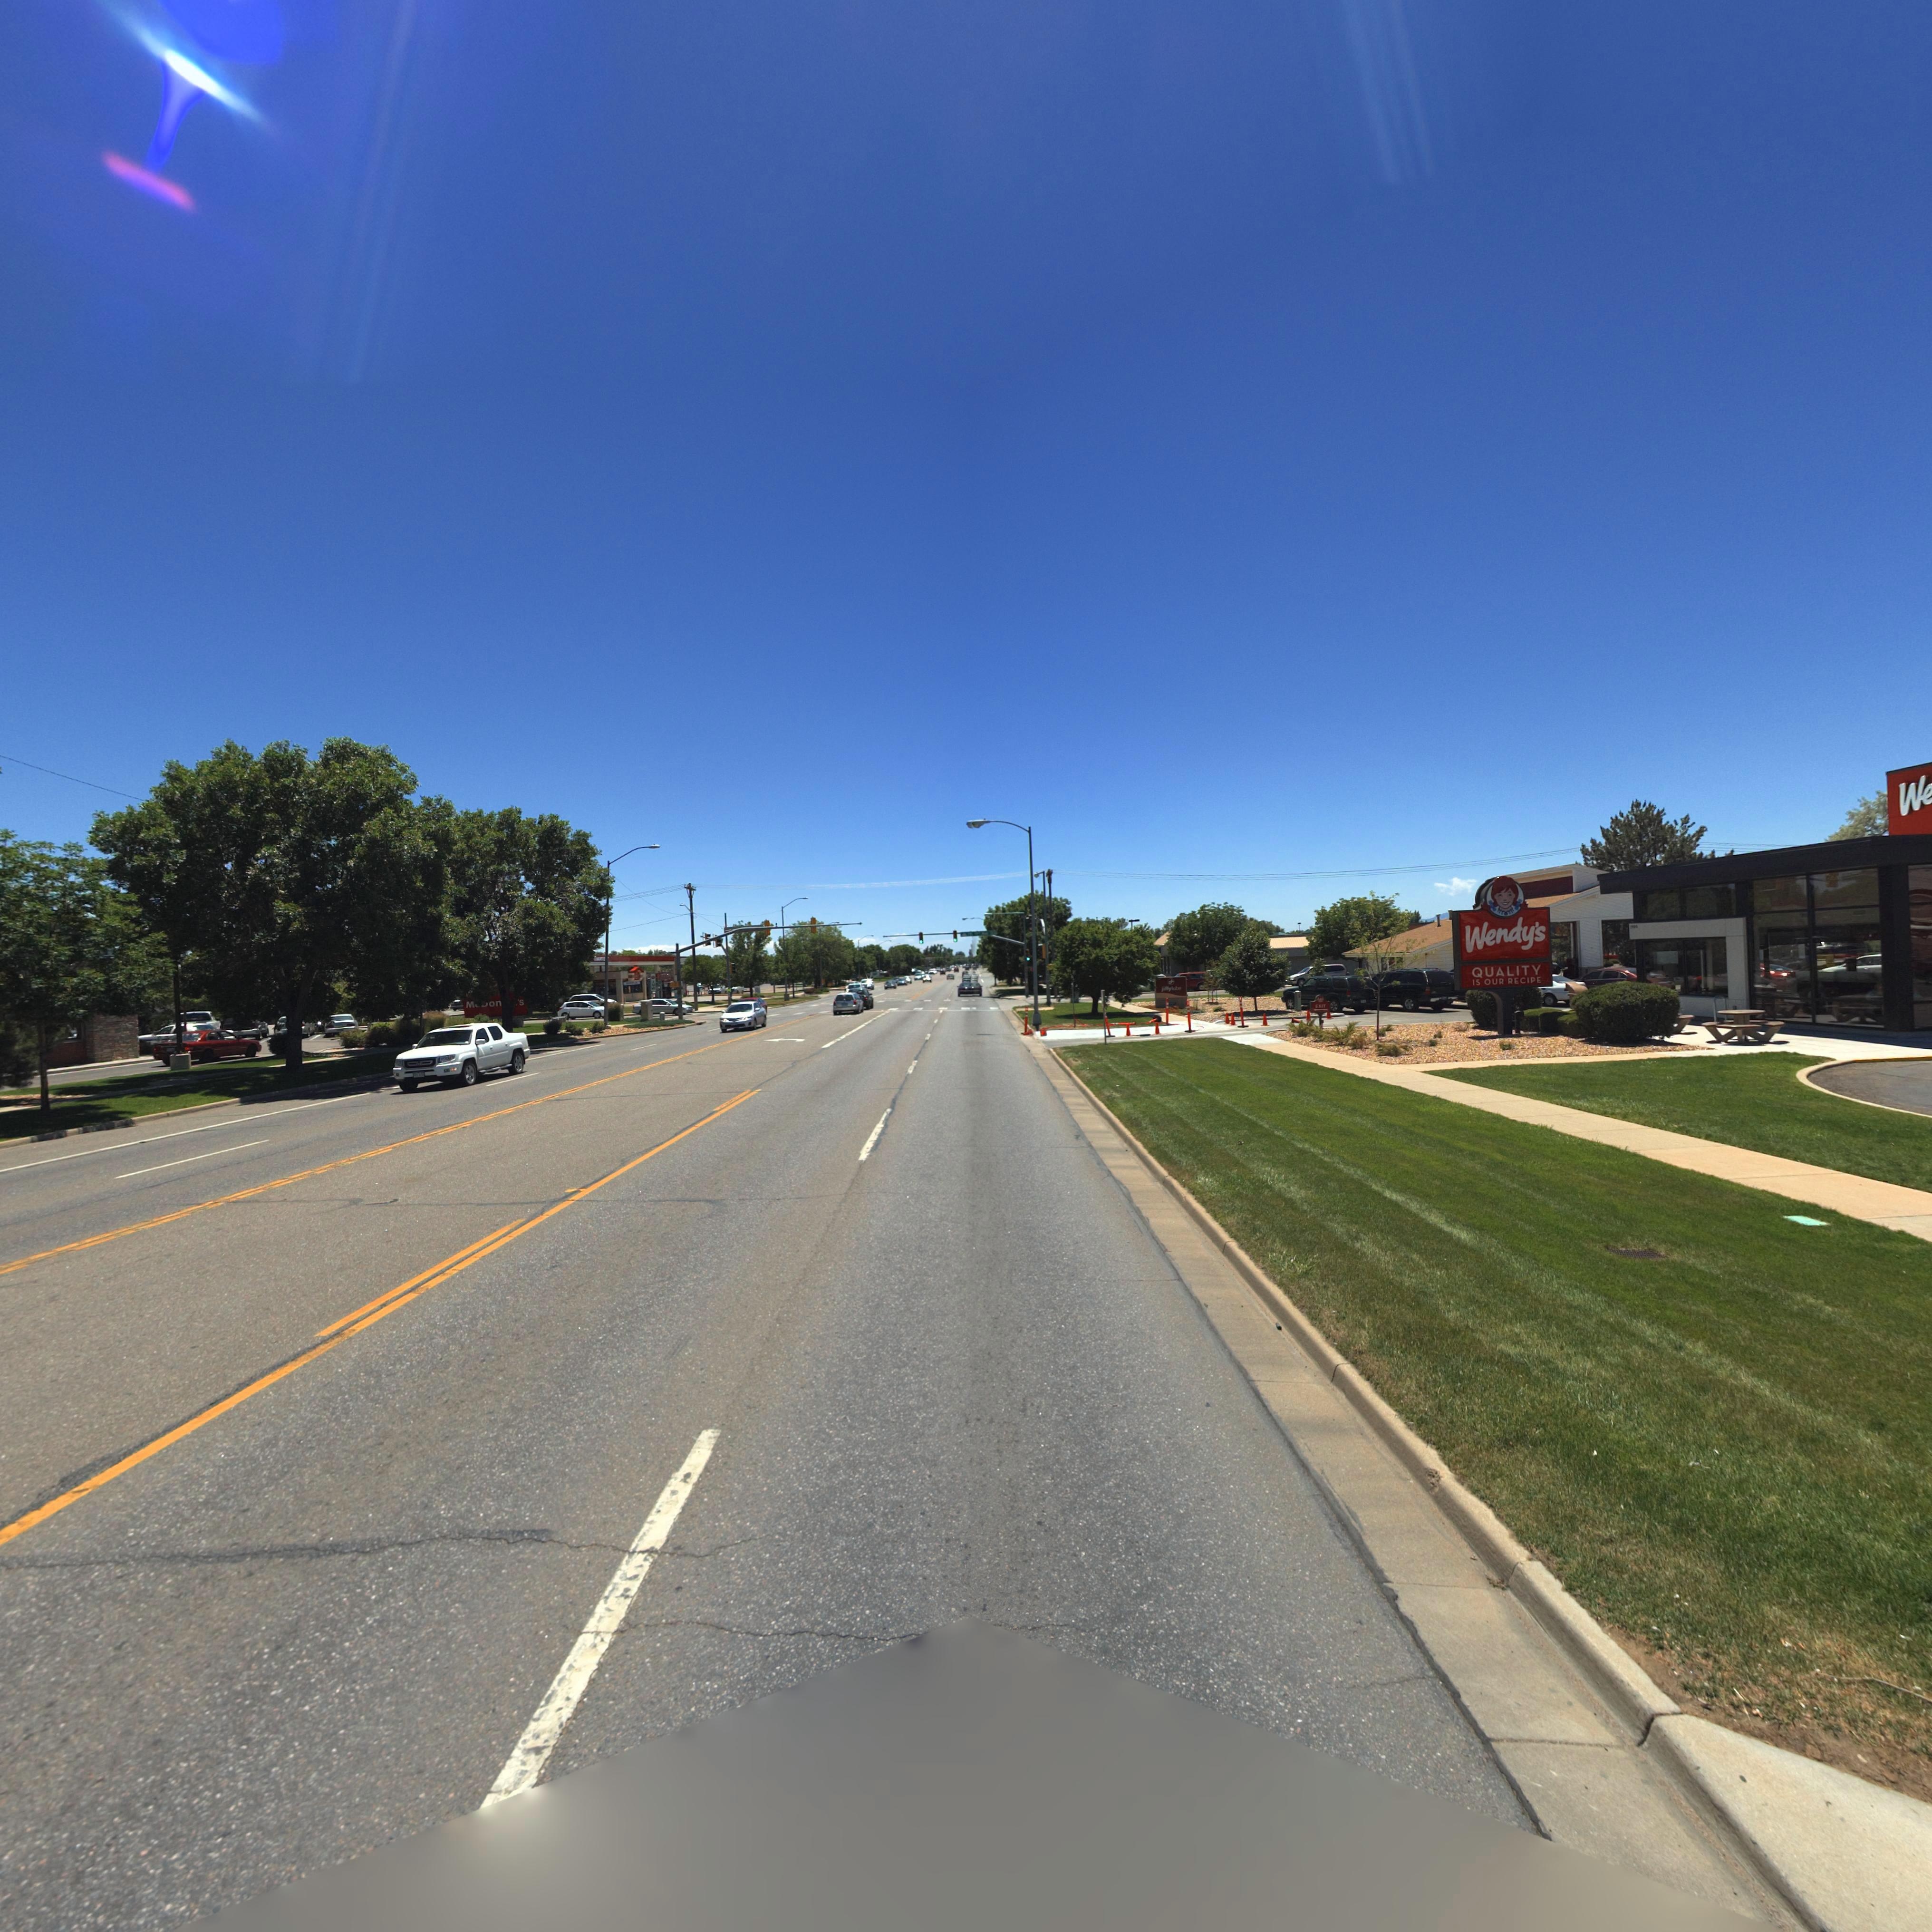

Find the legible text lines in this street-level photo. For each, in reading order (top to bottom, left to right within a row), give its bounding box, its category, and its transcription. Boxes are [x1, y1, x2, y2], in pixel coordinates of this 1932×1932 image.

[1897, 774, 1932, 817] BusinessName: We
[1629, 924, 1638, 928] None: 10***
[967, 931, 988, 936] StreetName: ***** **** Ave
[1463, 916, 1547, 954] BusinessName: Wendy's
[1160, 985, 1181, 992] BusinessName: jiffylube
[465, 999, 524, 1009] BusinessName: M**on****s